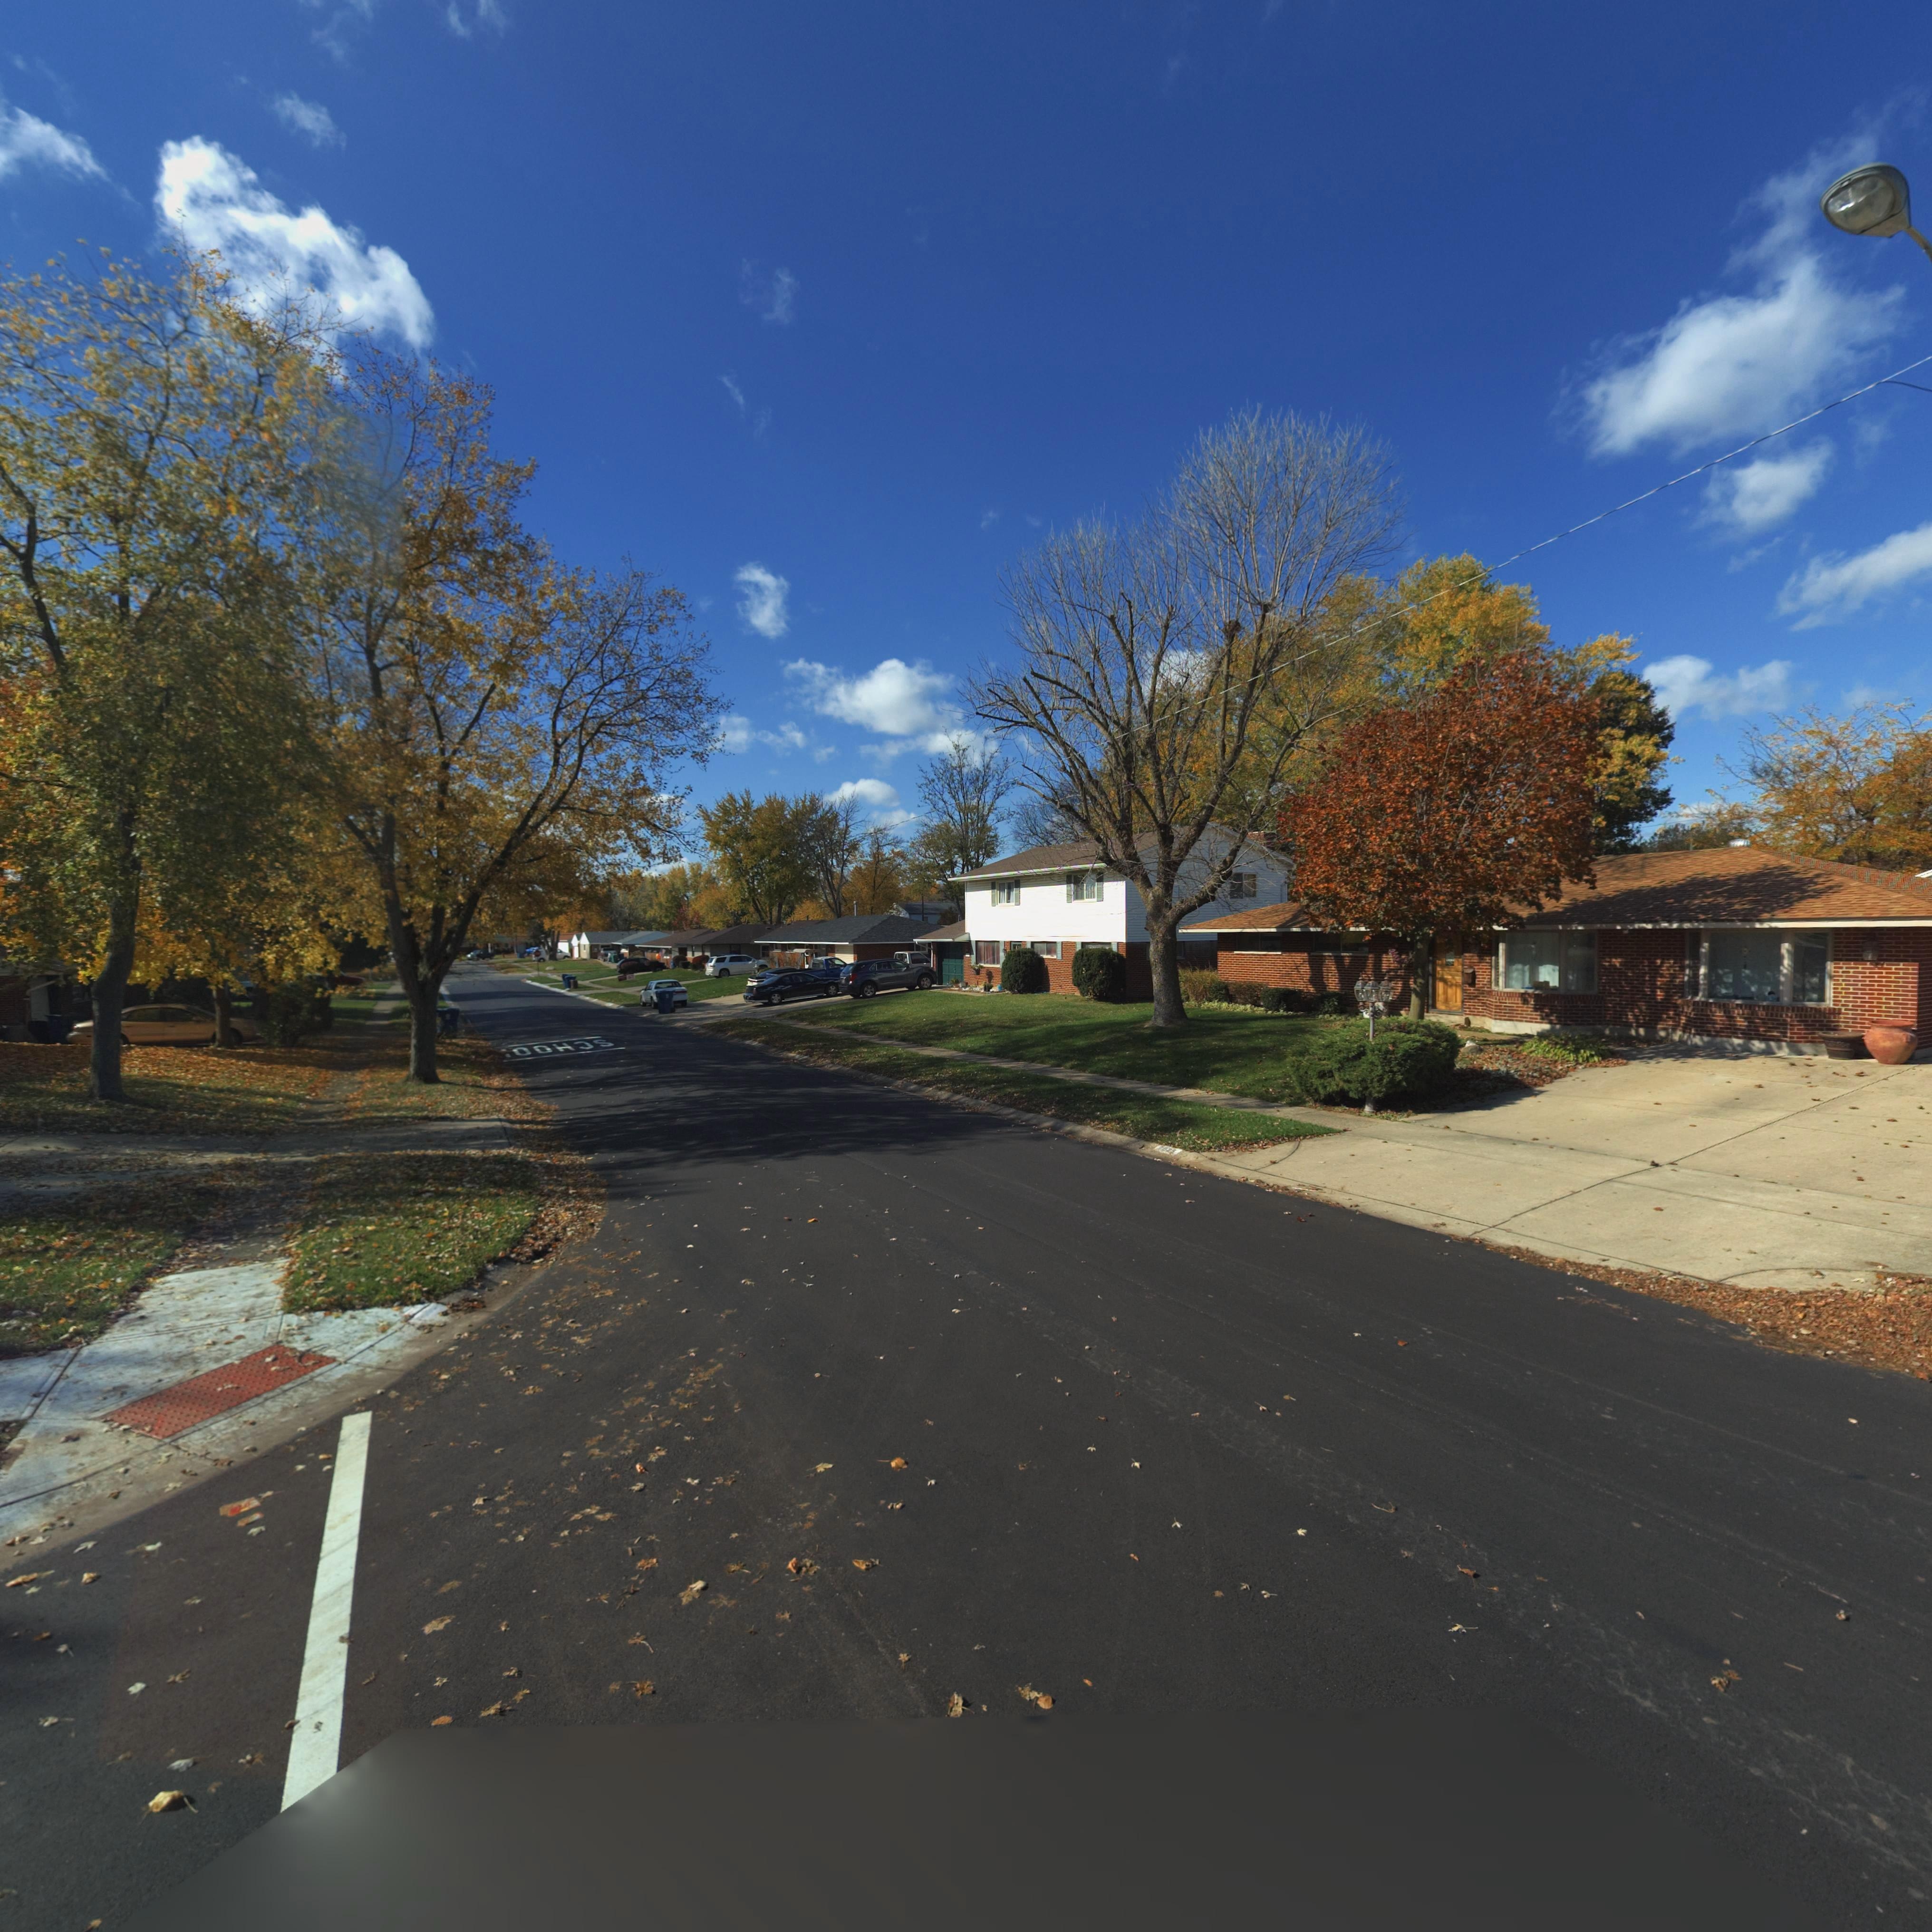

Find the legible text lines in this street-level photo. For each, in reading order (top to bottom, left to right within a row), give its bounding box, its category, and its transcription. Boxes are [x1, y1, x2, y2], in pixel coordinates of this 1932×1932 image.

[1168, 1148, 1178, 1155] StreetNumber: 5